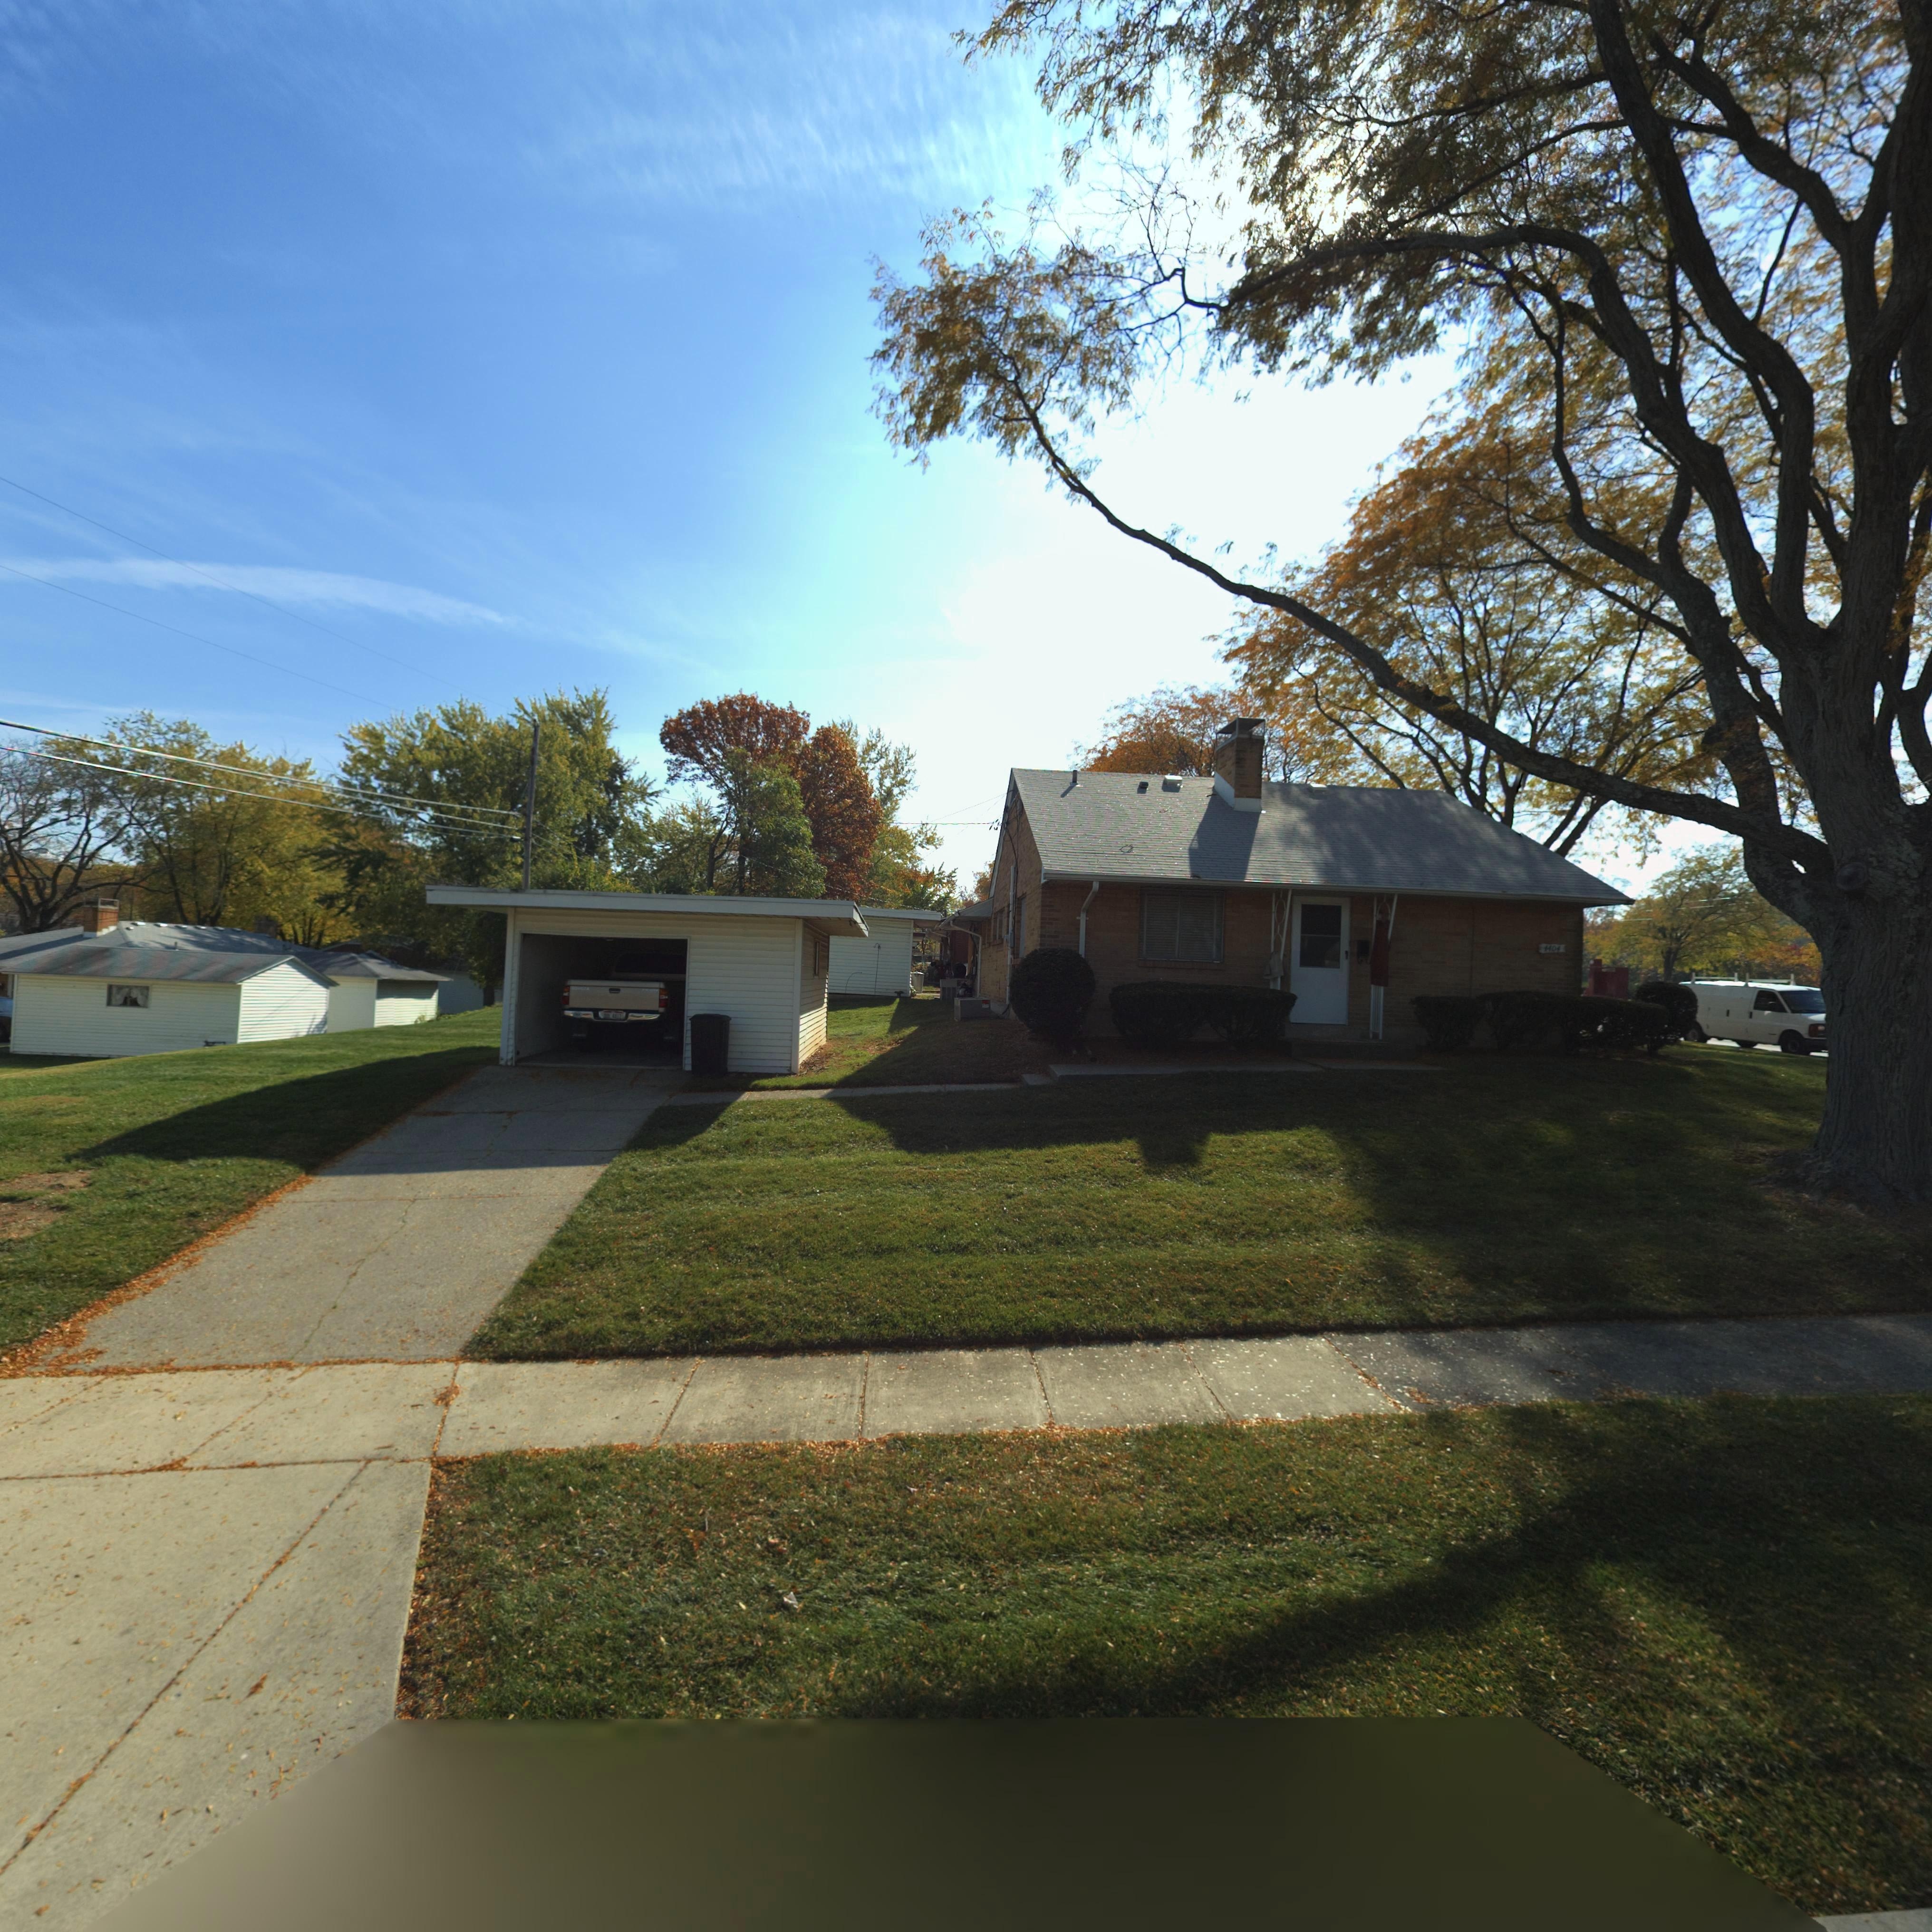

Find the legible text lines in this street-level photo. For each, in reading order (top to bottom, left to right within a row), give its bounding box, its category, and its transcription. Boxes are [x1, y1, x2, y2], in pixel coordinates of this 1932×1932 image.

[1542, 943, 1562, 953] None: 4404